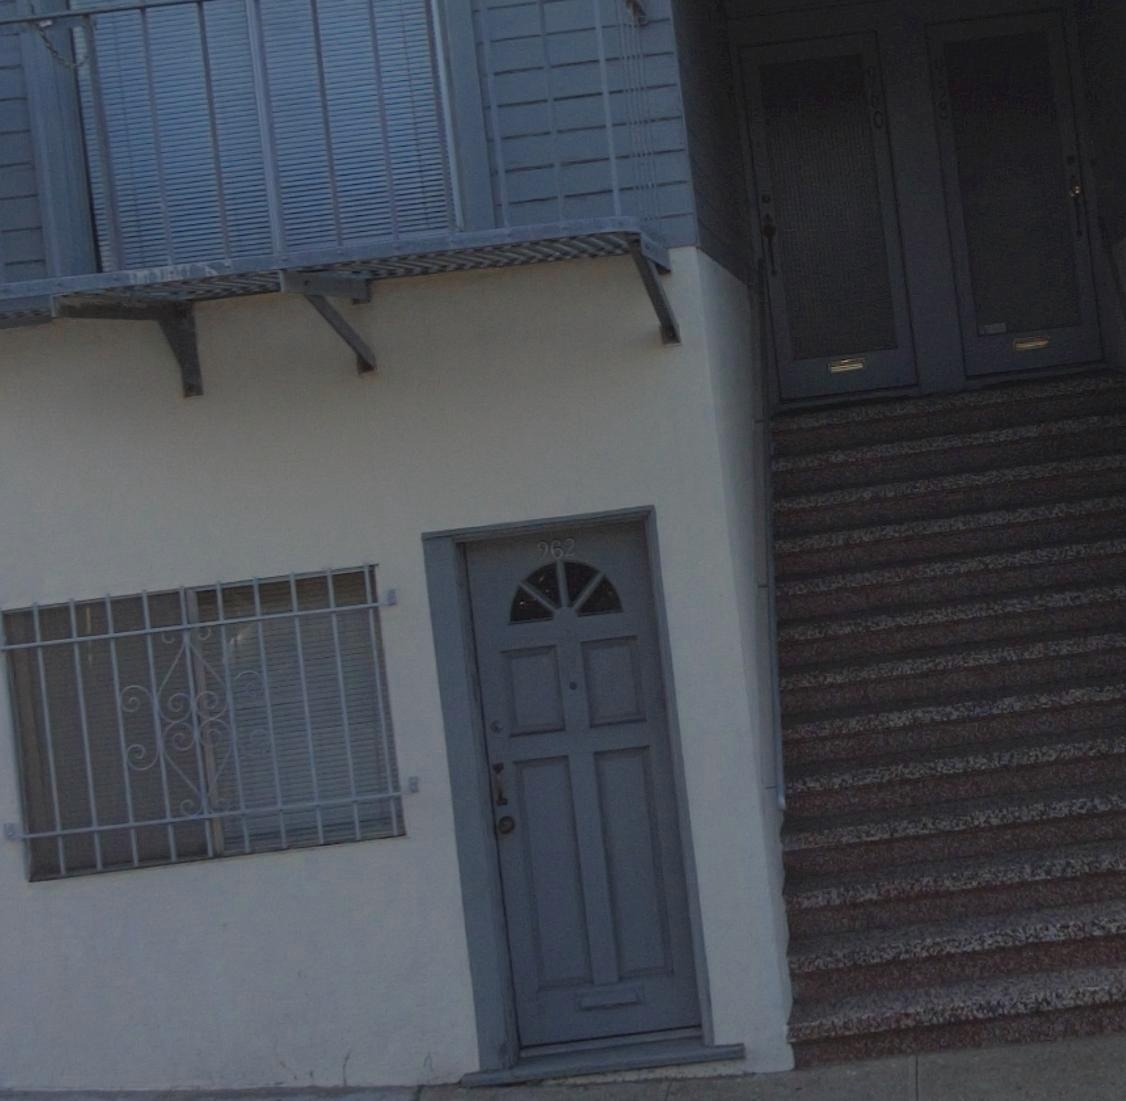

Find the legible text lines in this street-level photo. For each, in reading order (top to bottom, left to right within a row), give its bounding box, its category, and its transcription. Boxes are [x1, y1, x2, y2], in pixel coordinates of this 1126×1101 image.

[533, 531, 581, 564] StreetNumber: 962